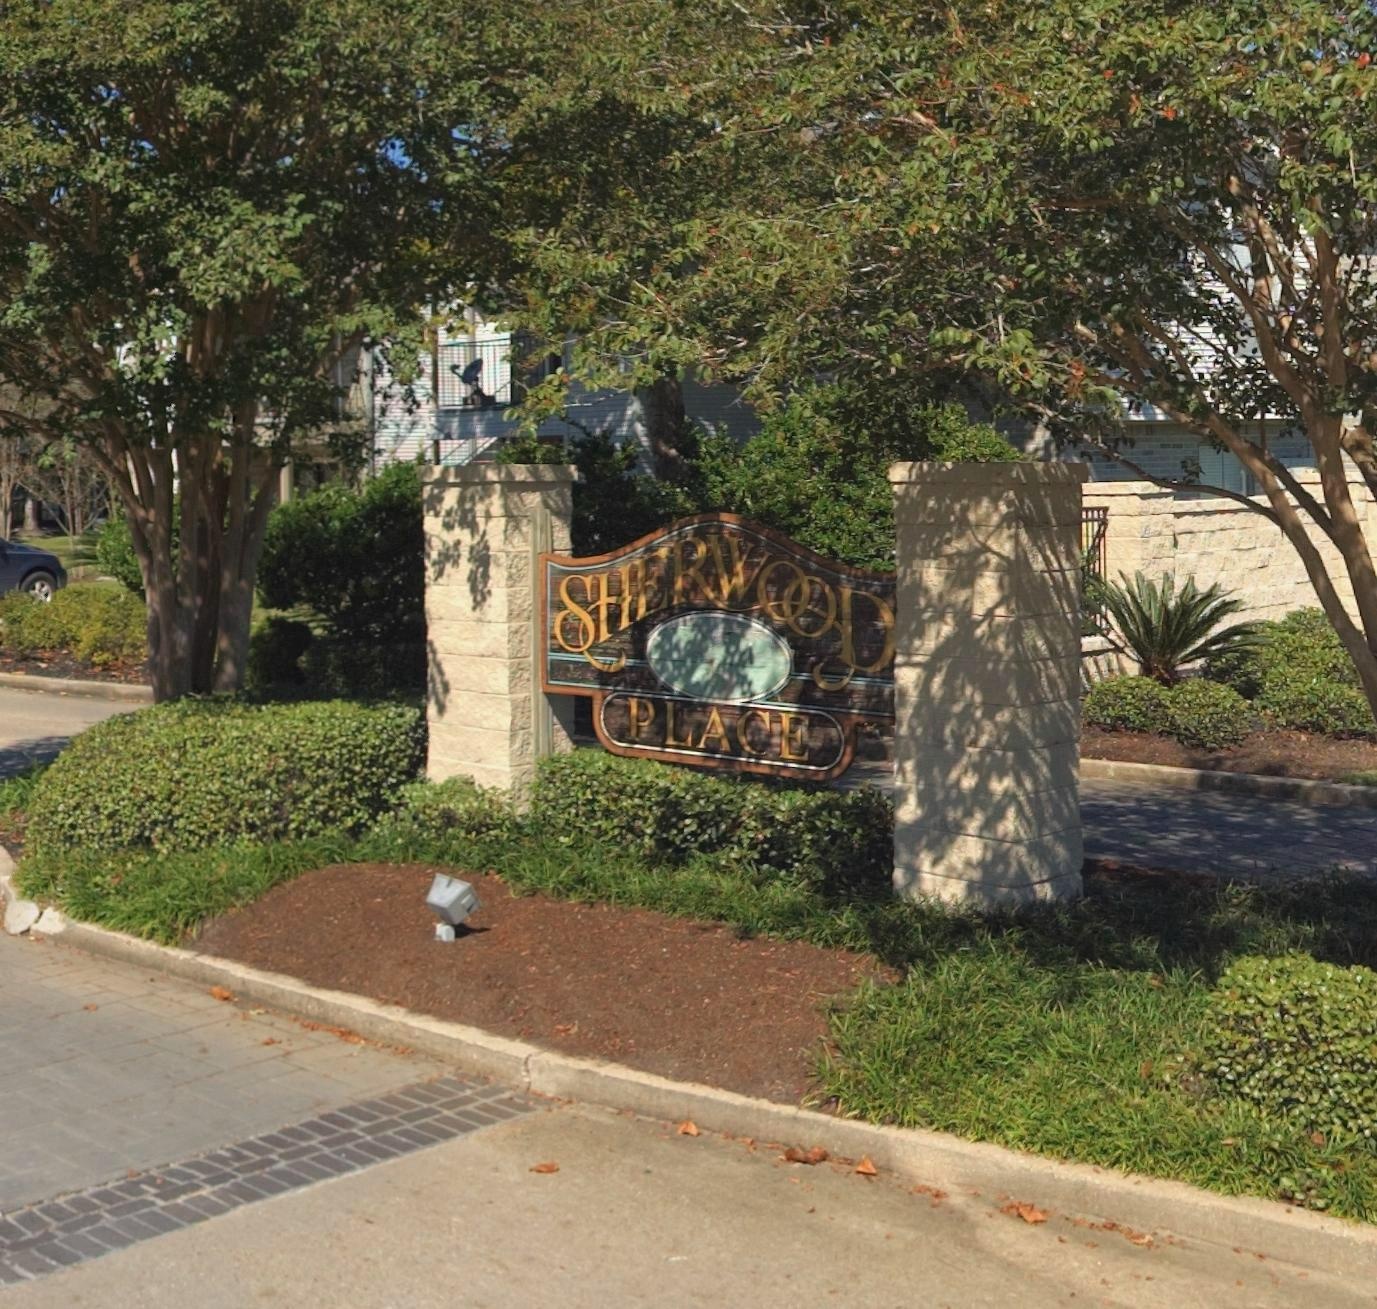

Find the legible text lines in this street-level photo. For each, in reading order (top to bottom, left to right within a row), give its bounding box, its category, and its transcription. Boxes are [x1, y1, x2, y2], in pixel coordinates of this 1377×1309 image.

[546, 530, 905, 677] BusinessName: SHERWOOD
[623, 691, 815, 765] BusinessName: PLACE